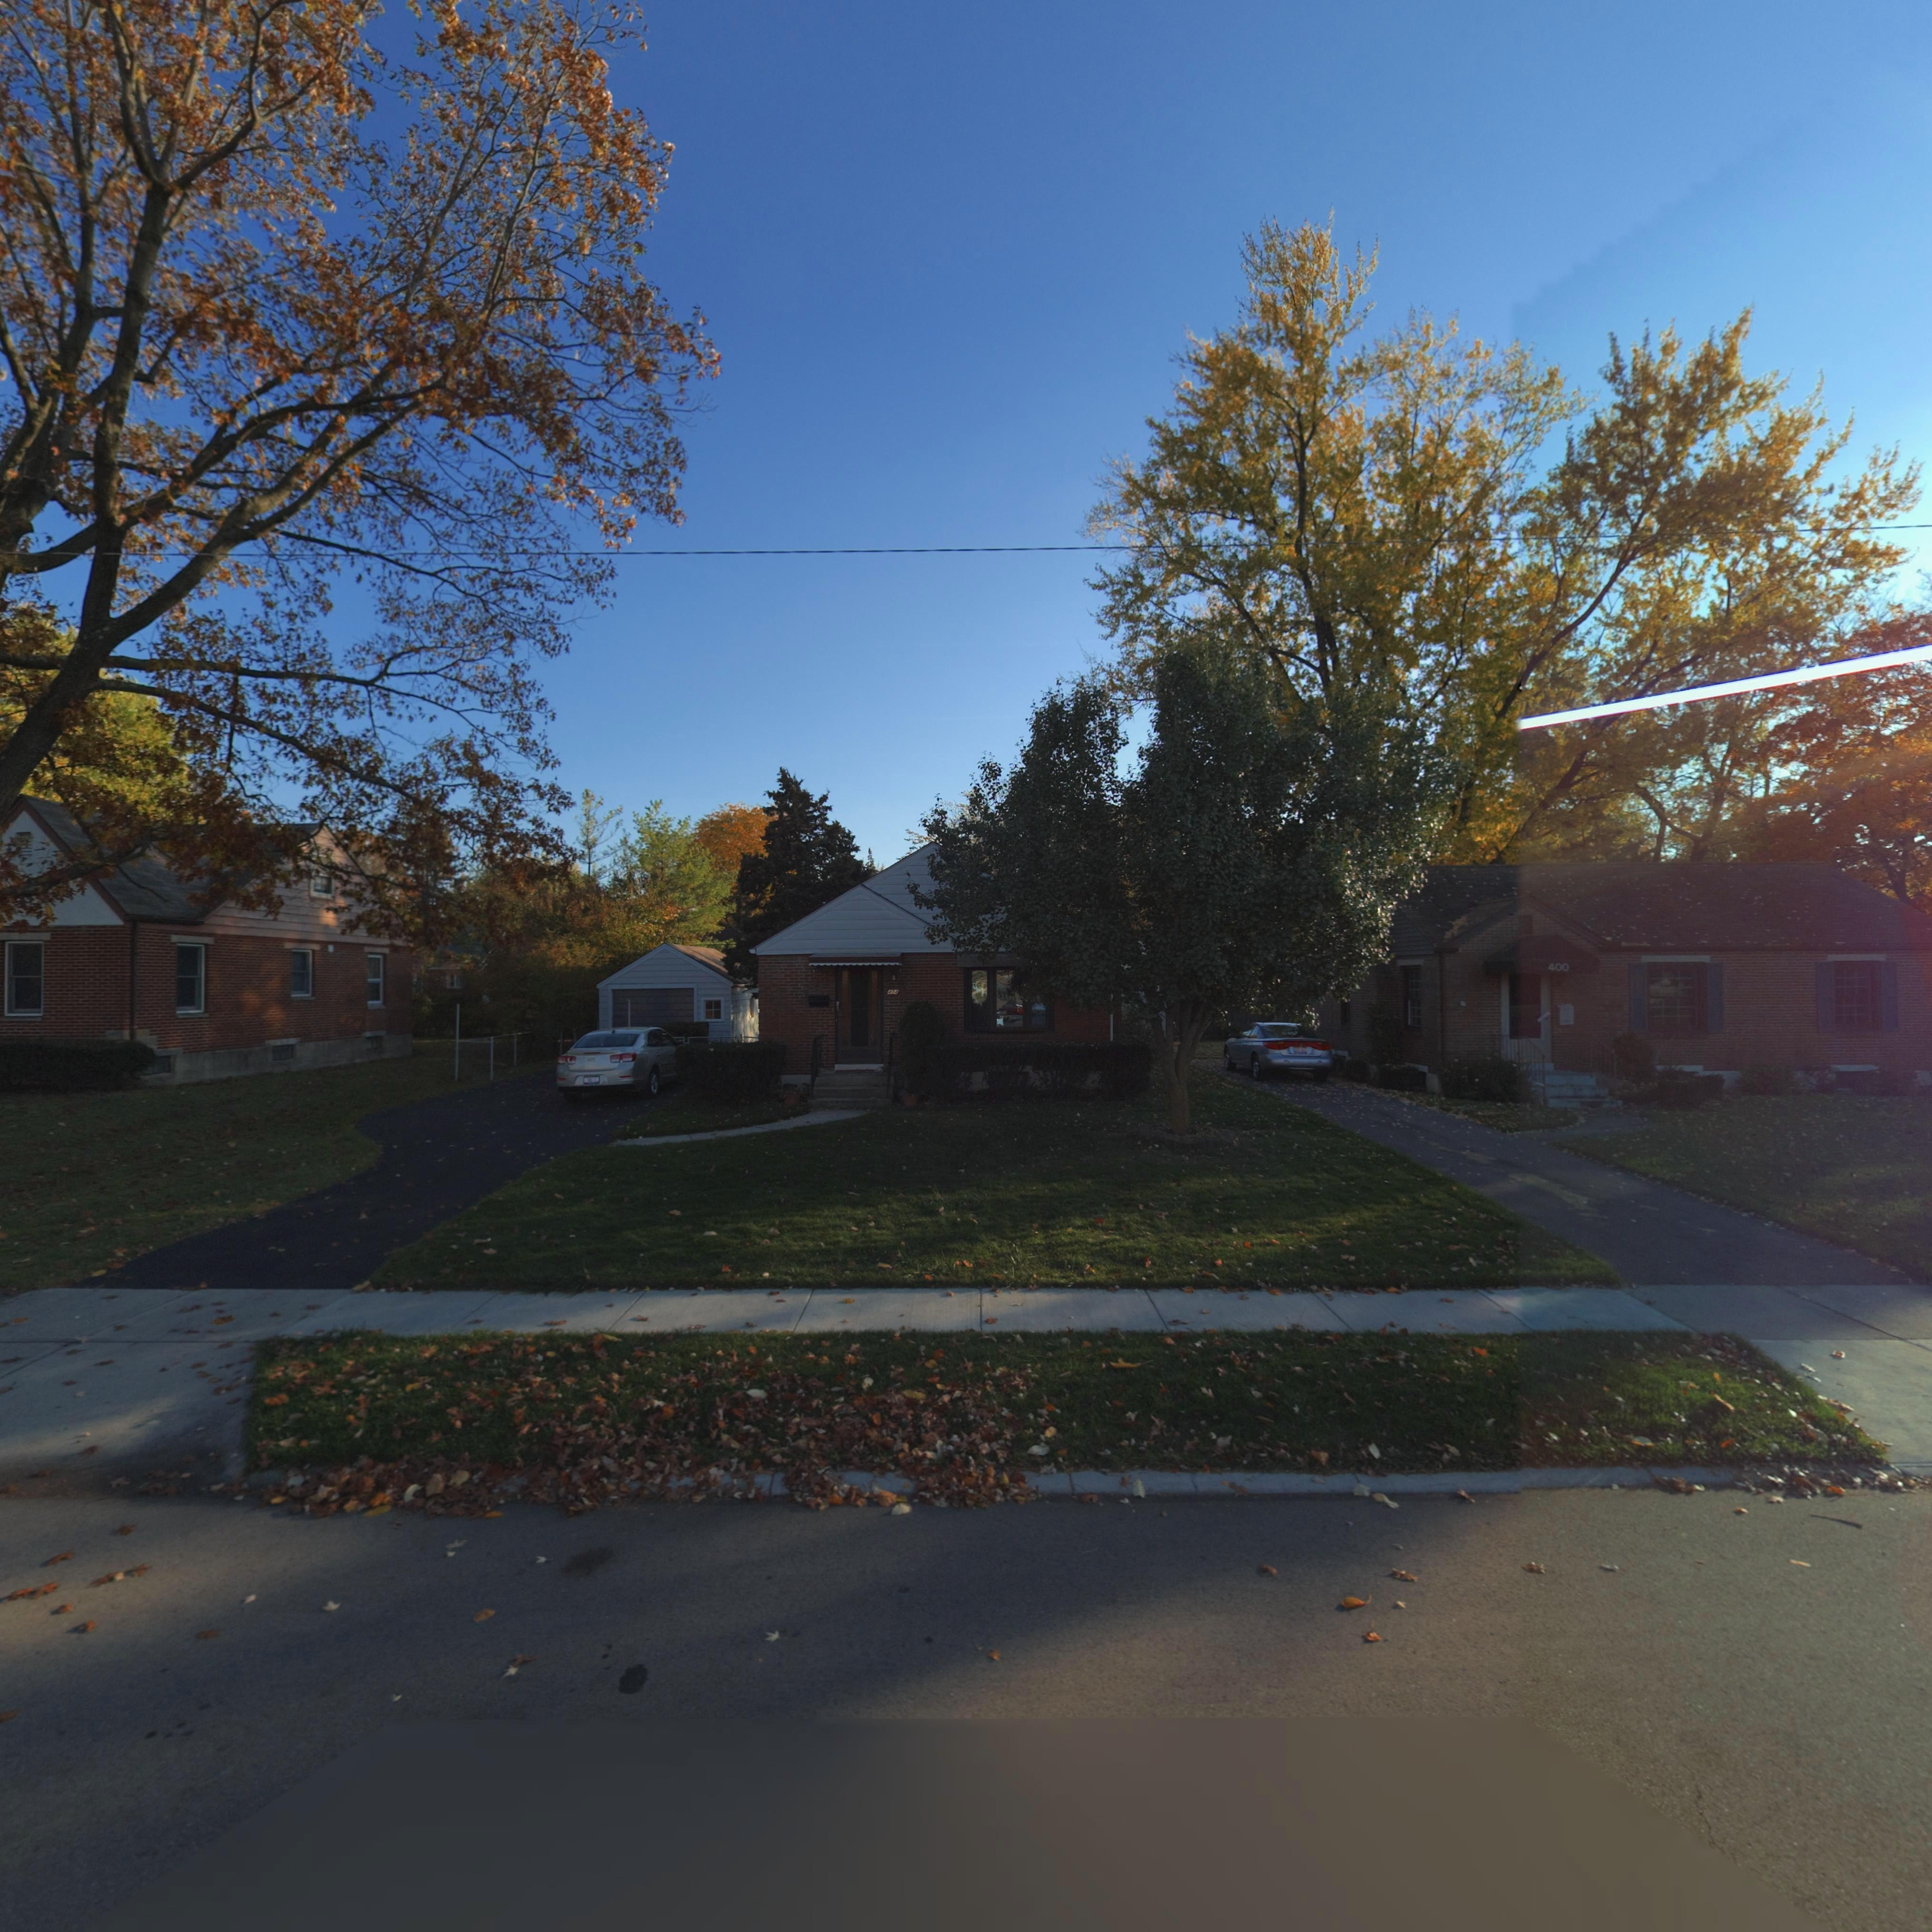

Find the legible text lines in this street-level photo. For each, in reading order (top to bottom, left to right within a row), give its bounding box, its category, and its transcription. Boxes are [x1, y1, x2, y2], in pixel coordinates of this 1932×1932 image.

[1547, 962, 1569, 971] StreetNumber: 400
[888, 989, 898, 995] StreetNumber: 404